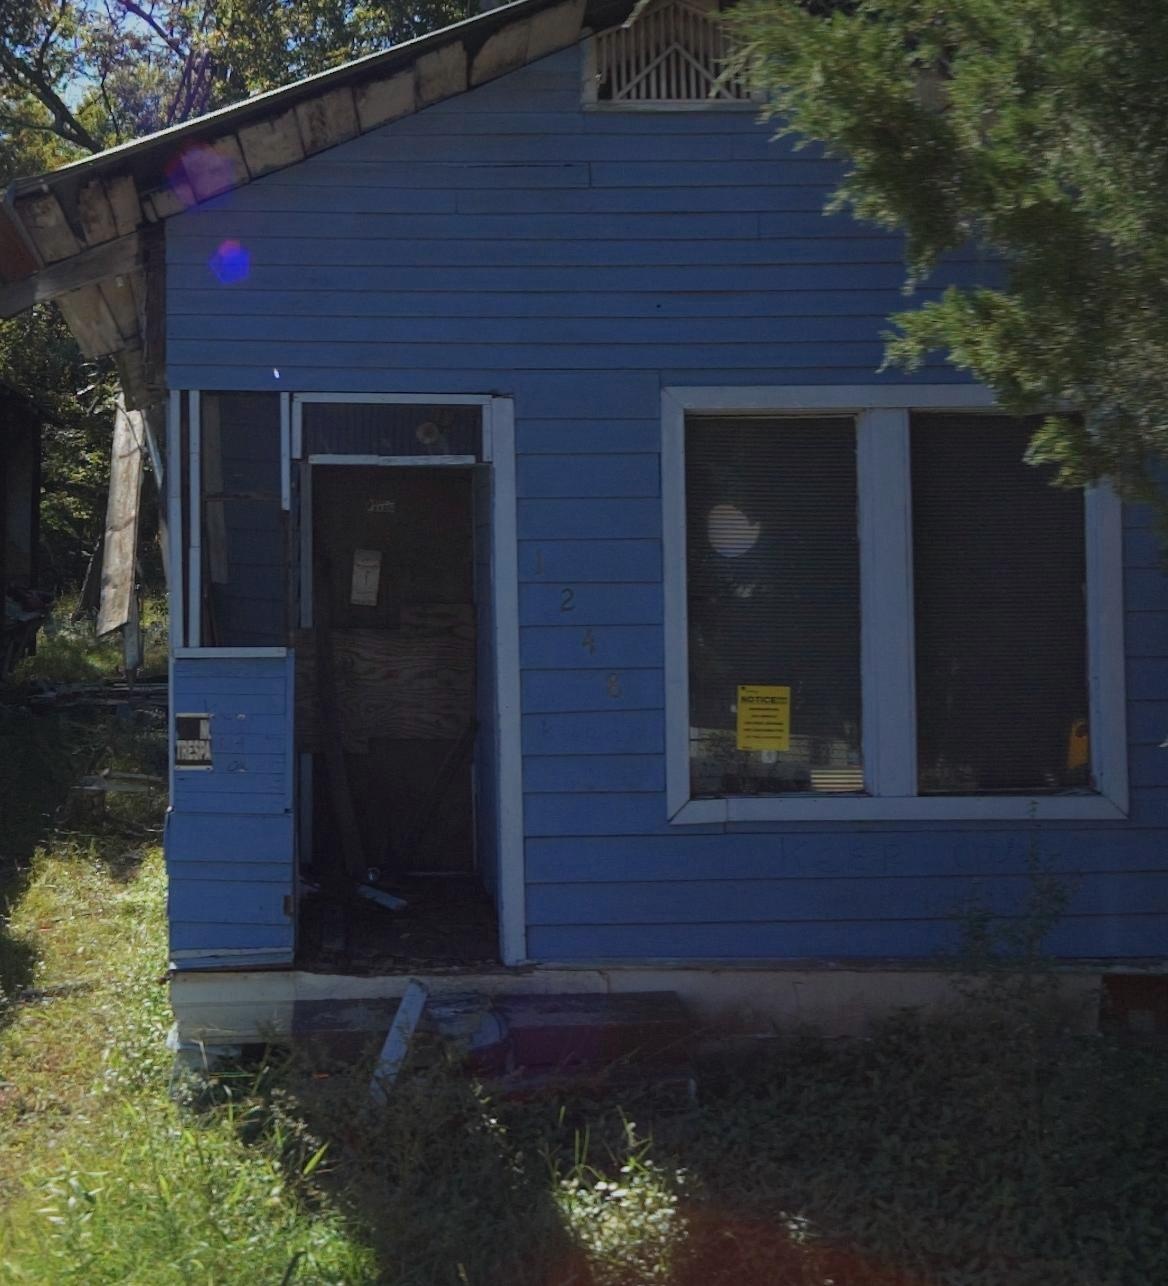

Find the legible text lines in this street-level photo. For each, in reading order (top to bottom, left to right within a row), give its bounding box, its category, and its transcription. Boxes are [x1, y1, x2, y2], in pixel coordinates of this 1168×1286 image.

[530, 544, 625, 701] StreetNumber: 1248
[198, 718, 209, 740] None: N
[173, 737, 214, 763] None: TRESPA